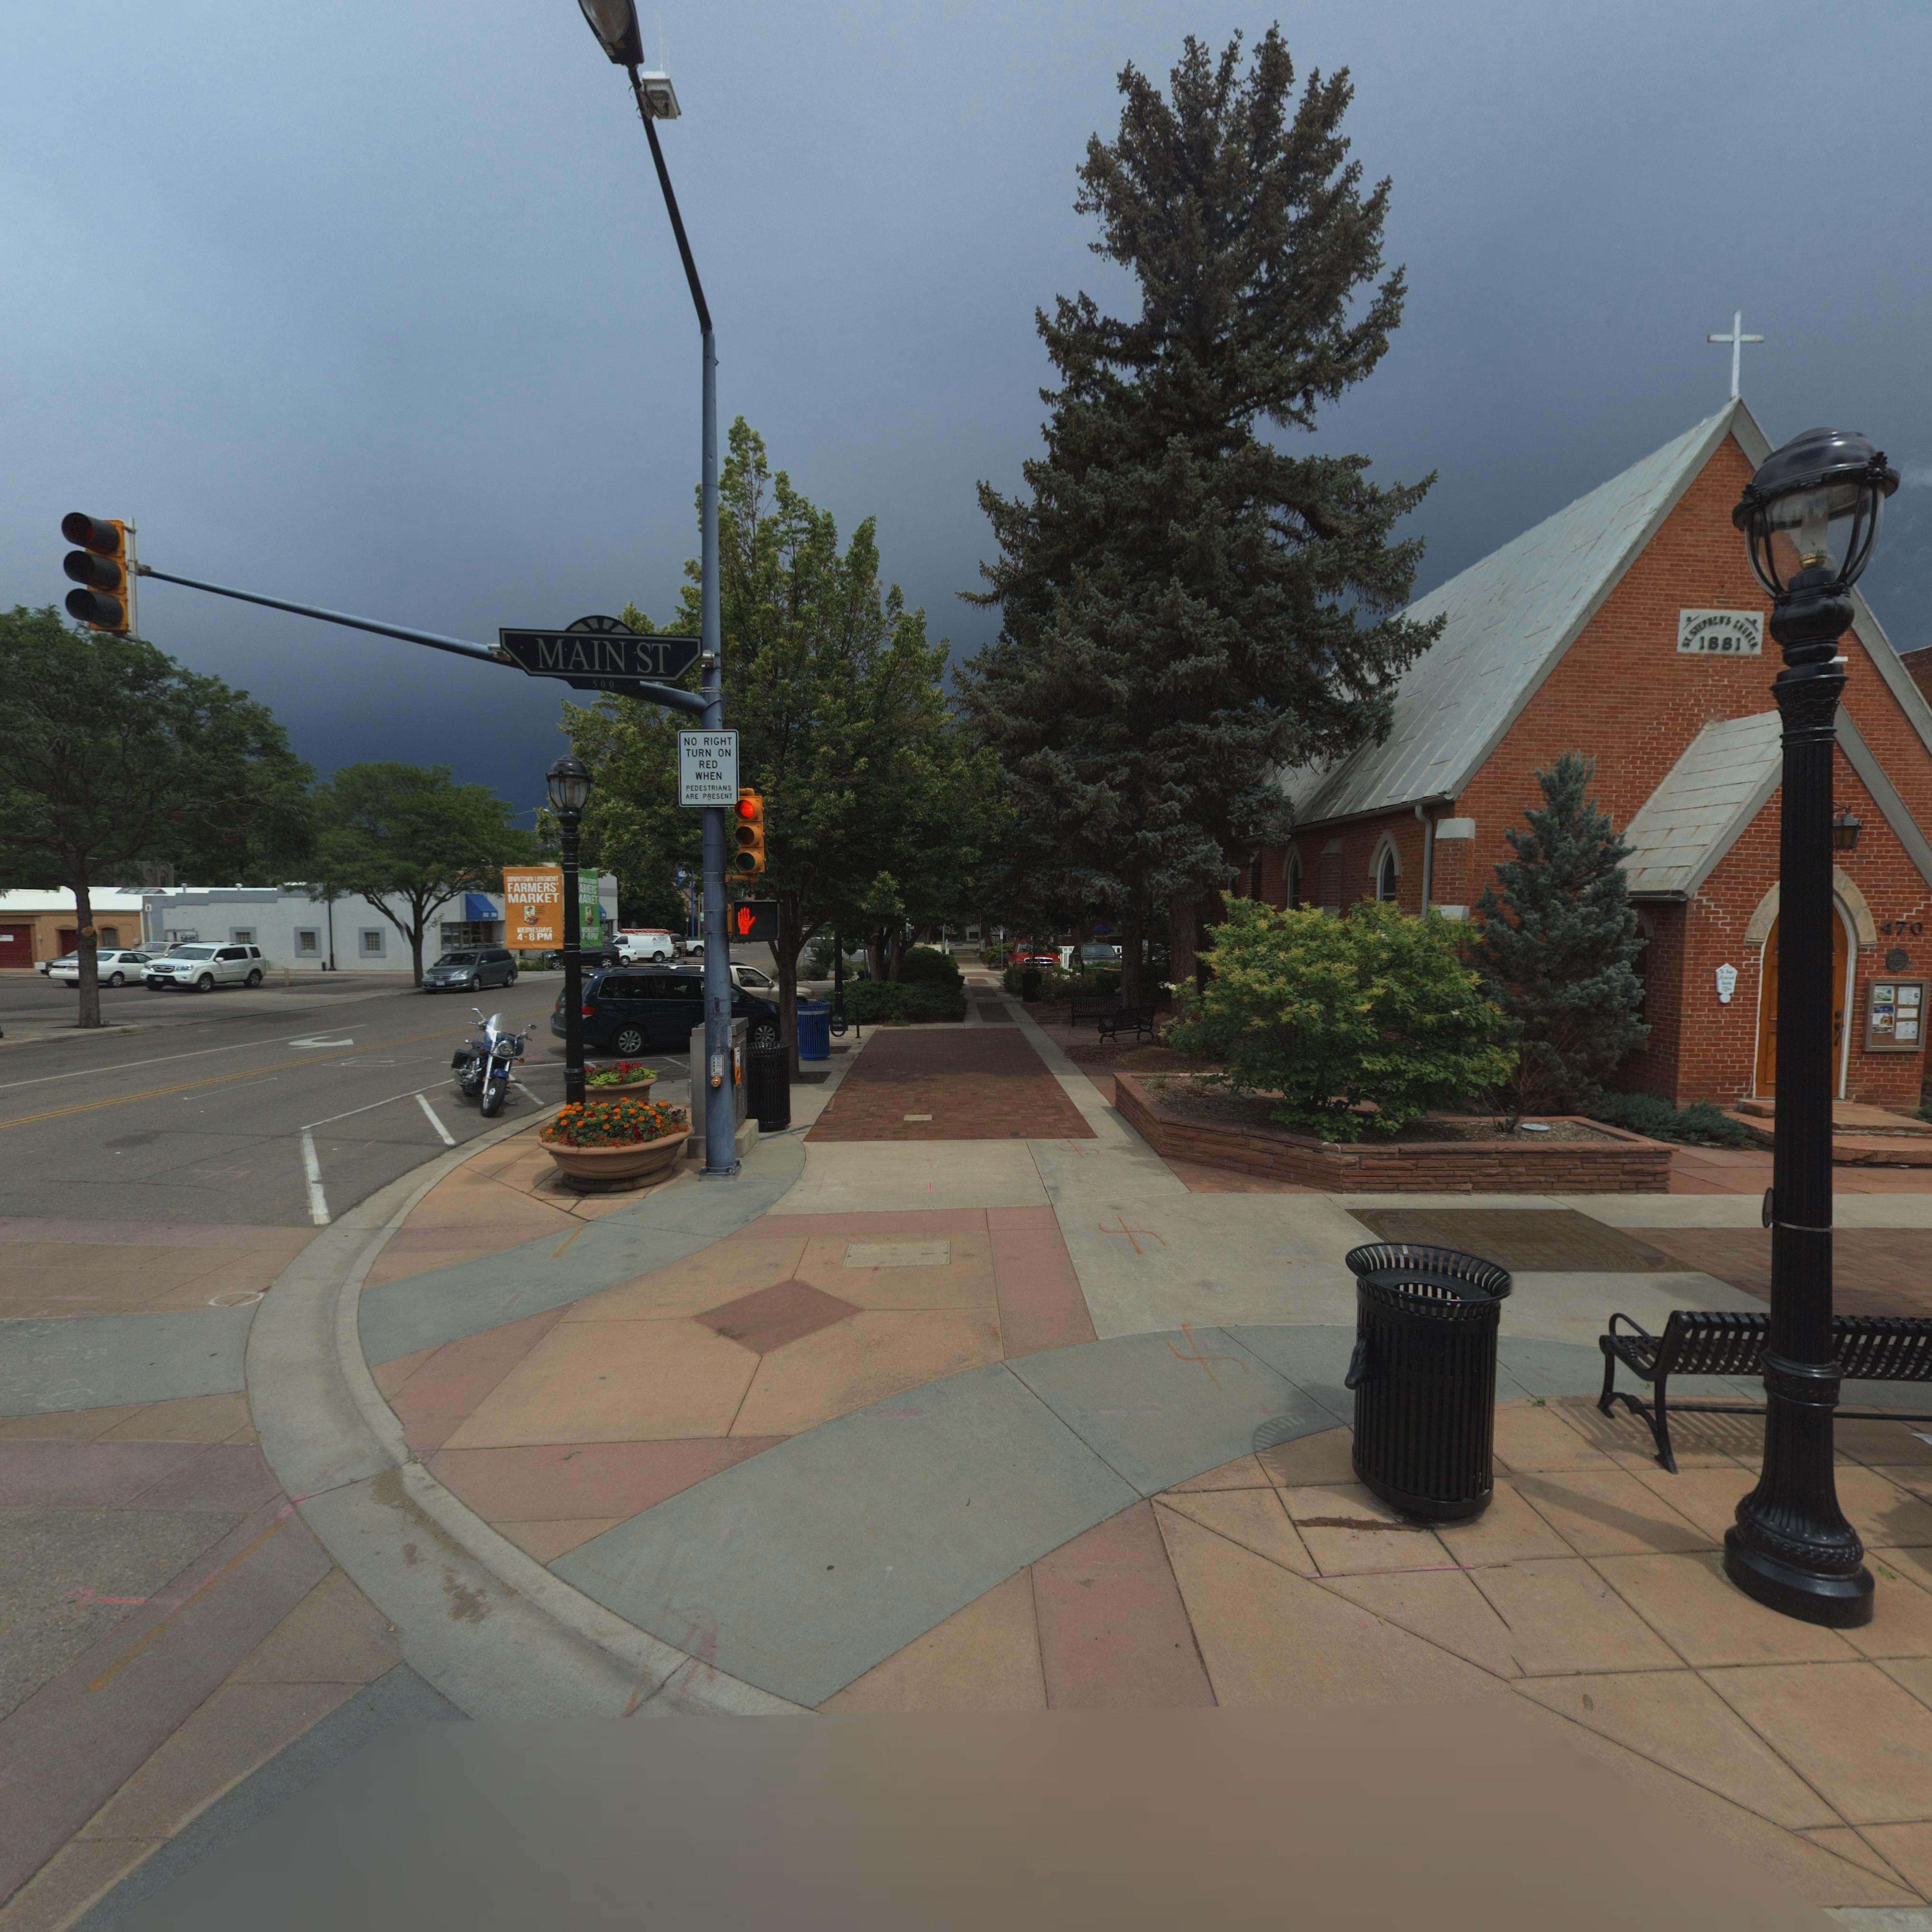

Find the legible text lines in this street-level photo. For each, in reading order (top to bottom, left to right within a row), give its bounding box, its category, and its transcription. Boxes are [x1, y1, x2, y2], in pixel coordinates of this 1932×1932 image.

[1681, 614, 1759, 648] BusinessName: ST STEPHEN'S CHURCH
[535, 637, 672, 674] StreetName: MAIN ST
[592, 679, 614, 689] StreetNumberRange: 500
[1880, 919, 1923, 935] StreetNumber: 470